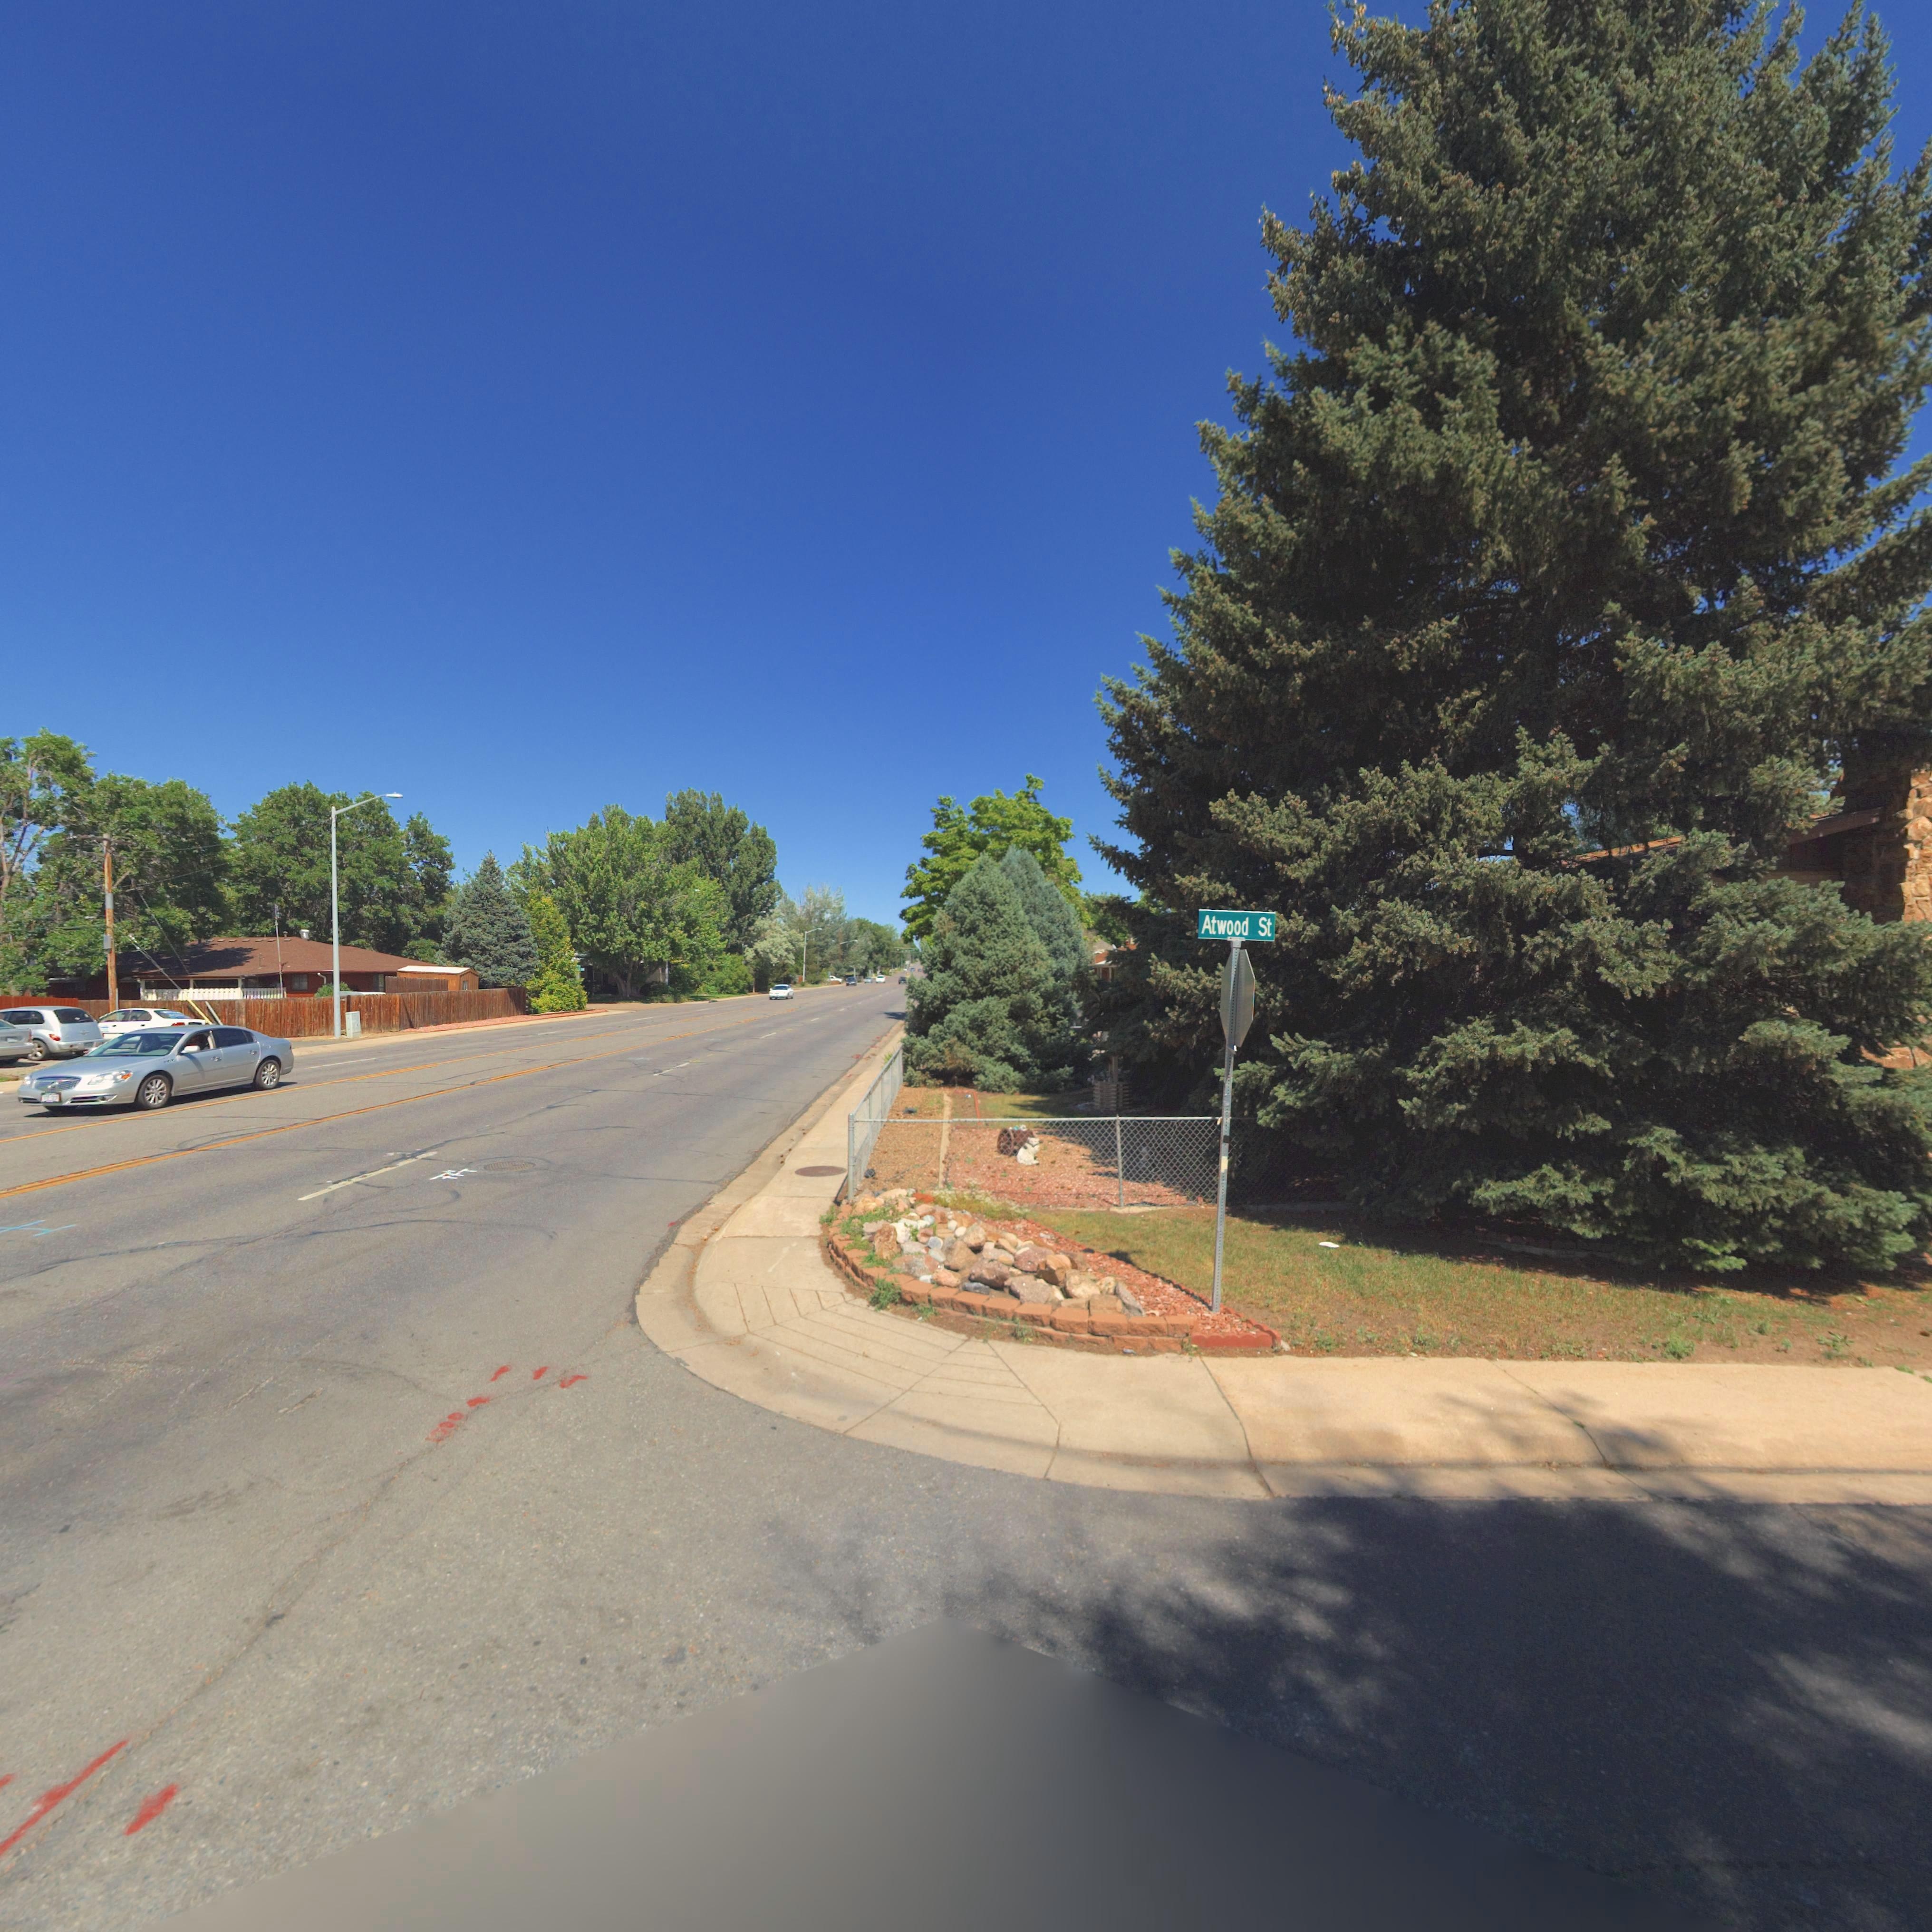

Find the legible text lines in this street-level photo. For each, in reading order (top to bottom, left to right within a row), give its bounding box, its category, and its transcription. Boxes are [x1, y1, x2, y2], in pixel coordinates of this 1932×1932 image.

[1200, 914, 1273, 937] StreetName: Atwood St